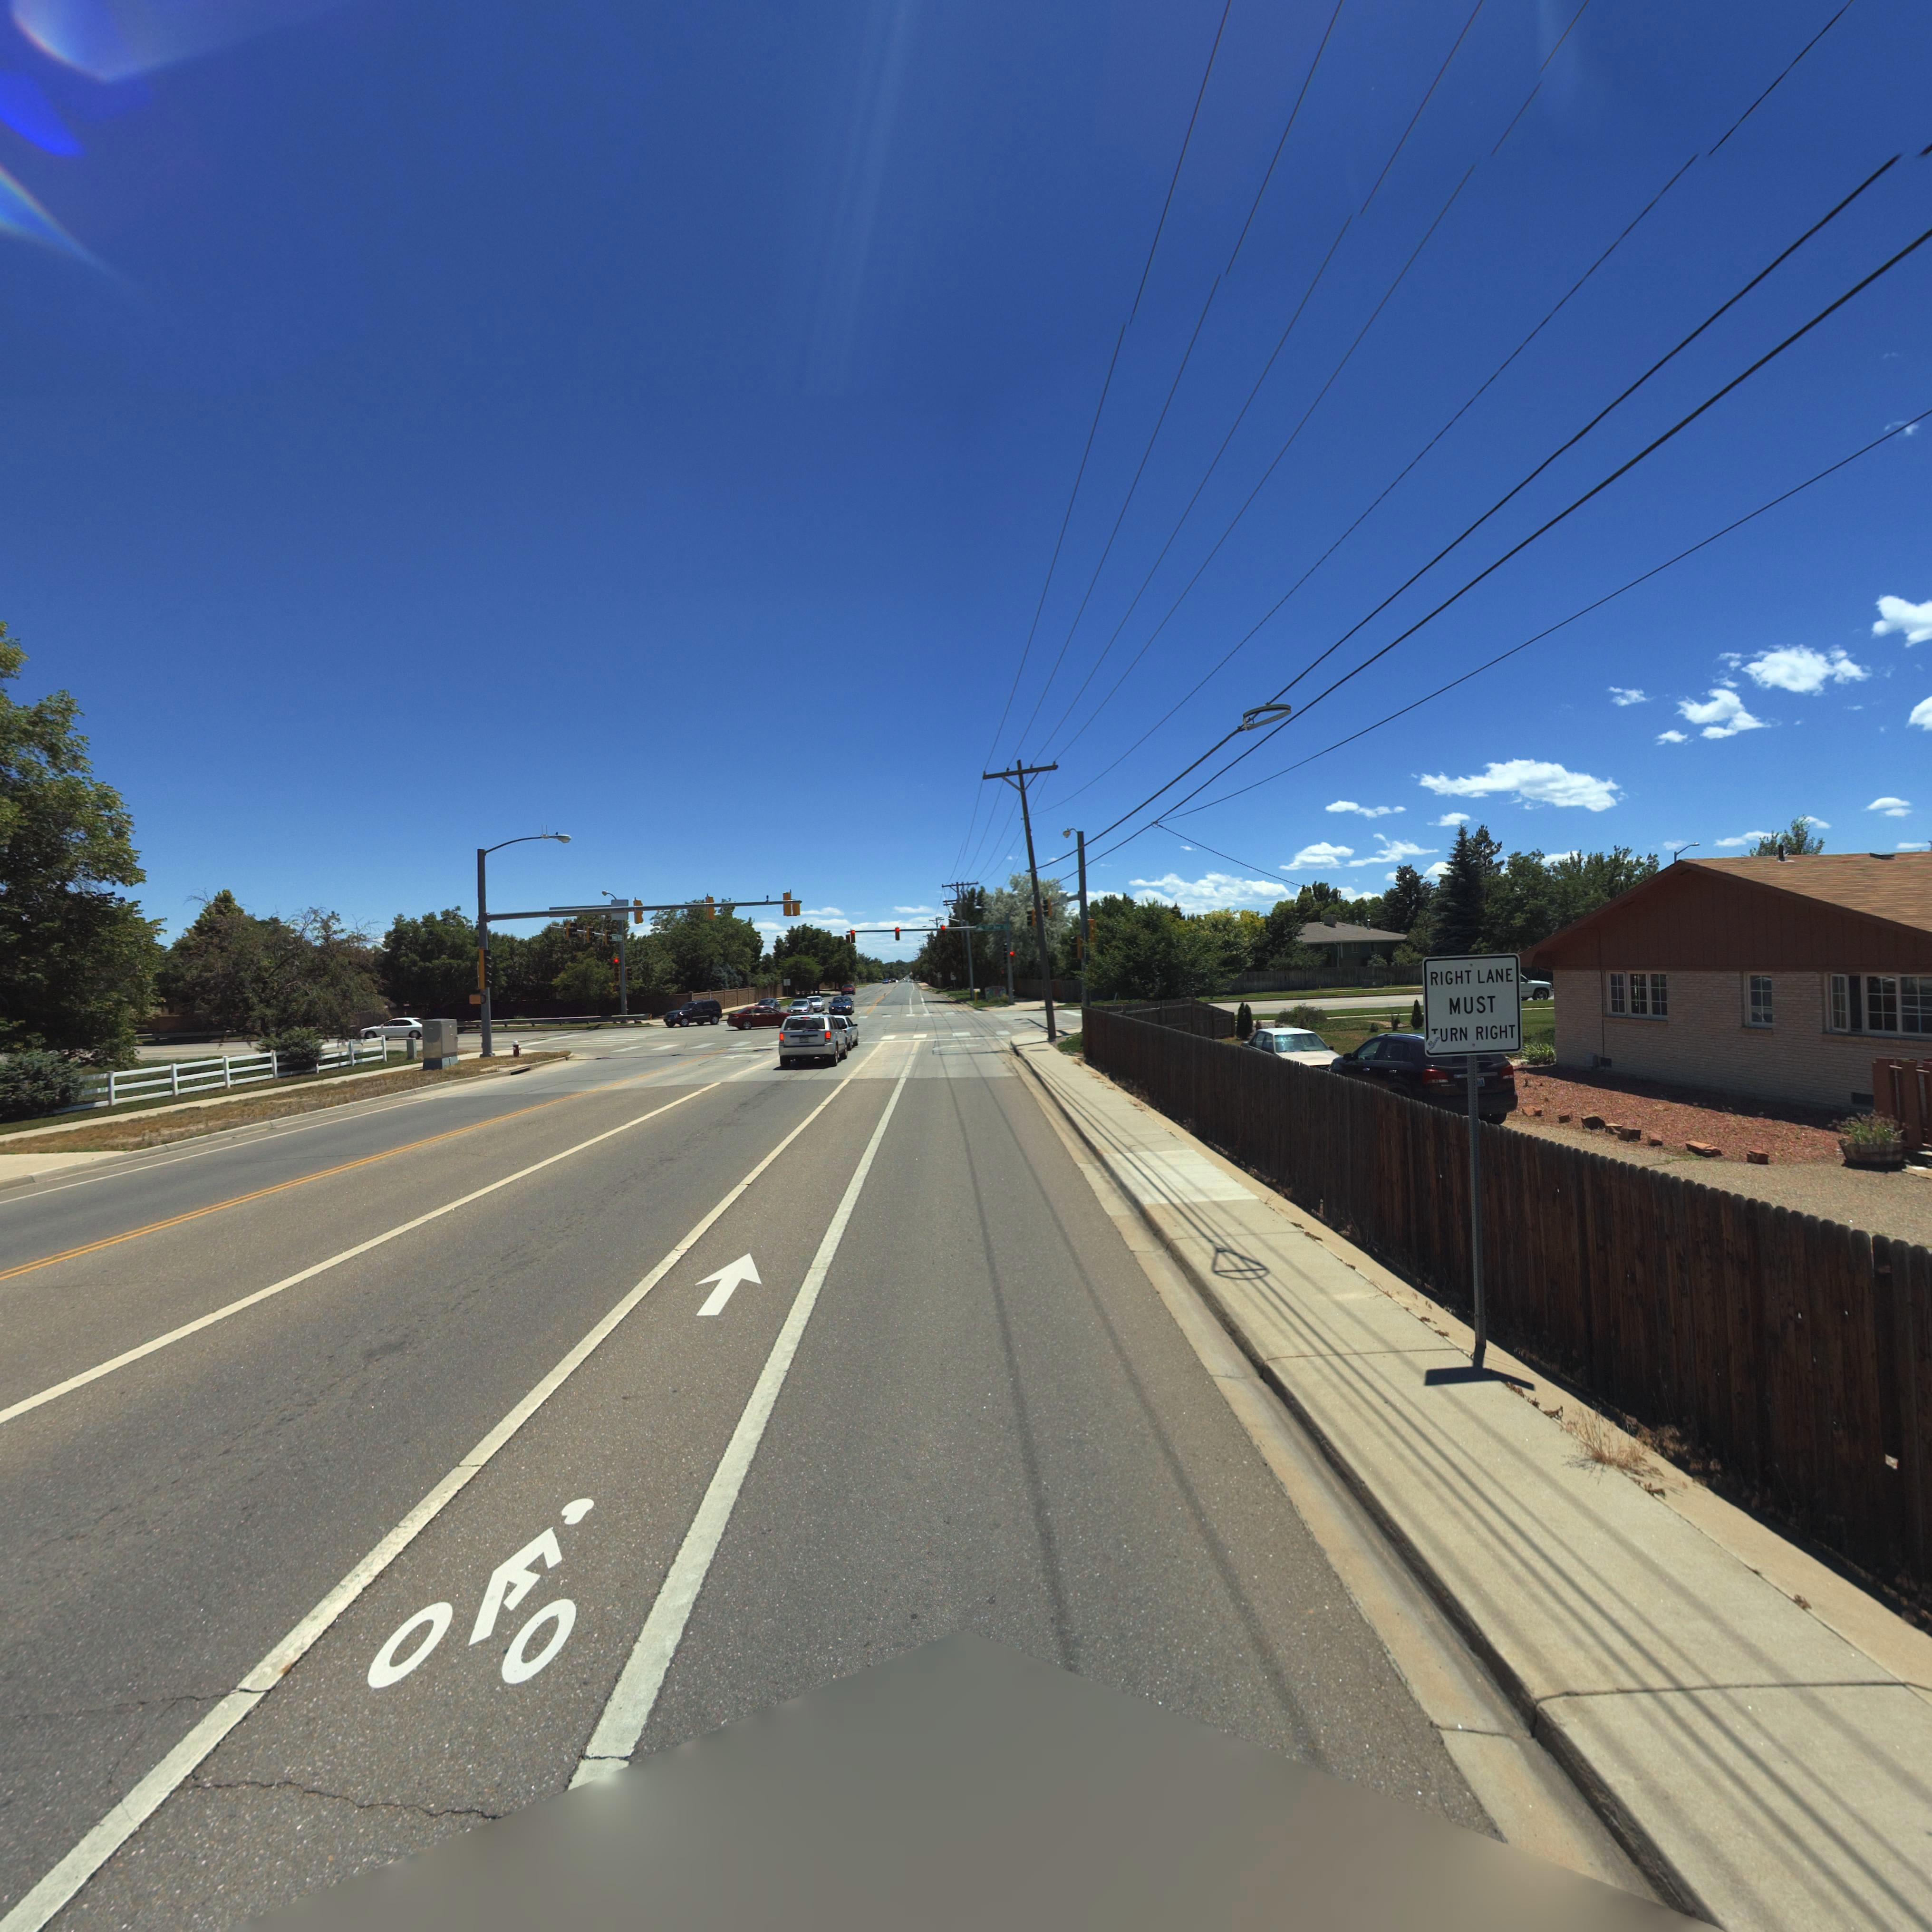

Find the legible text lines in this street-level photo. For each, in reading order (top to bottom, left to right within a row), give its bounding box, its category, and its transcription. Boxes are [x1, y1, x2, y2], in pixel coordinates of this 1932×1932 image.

[984, 924, 1001, 929] StreetName: 17th Ave